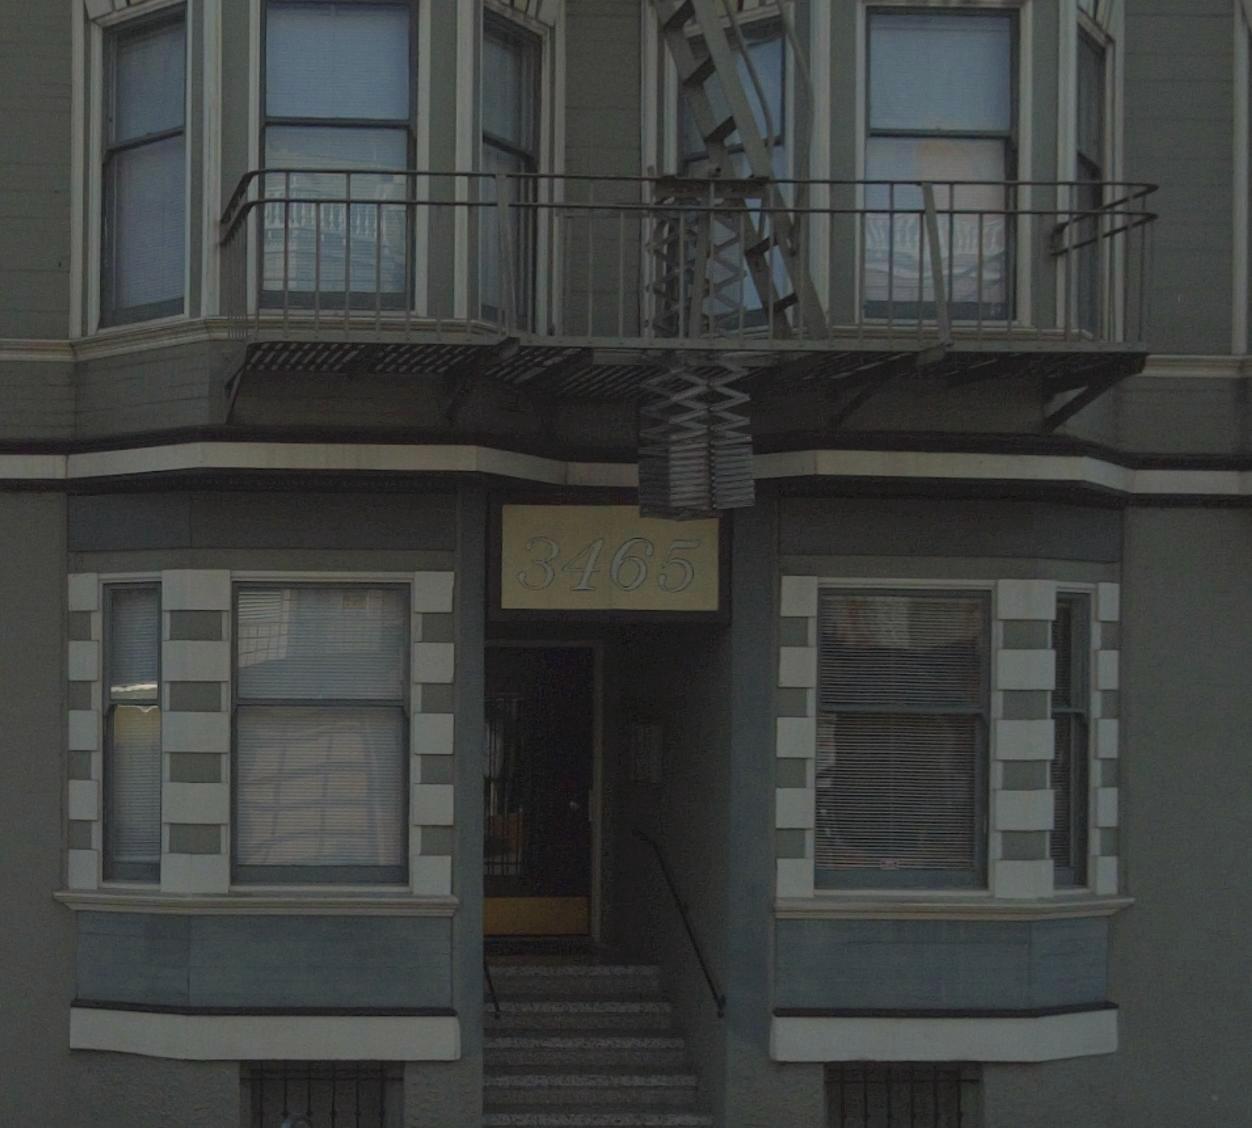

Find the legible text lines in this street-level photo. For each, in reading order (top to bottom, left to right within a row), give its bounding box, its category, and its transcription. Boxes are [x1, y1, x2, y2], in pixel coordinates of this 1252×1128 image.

[513, 534, 705, 594] StreetNumber: 3465